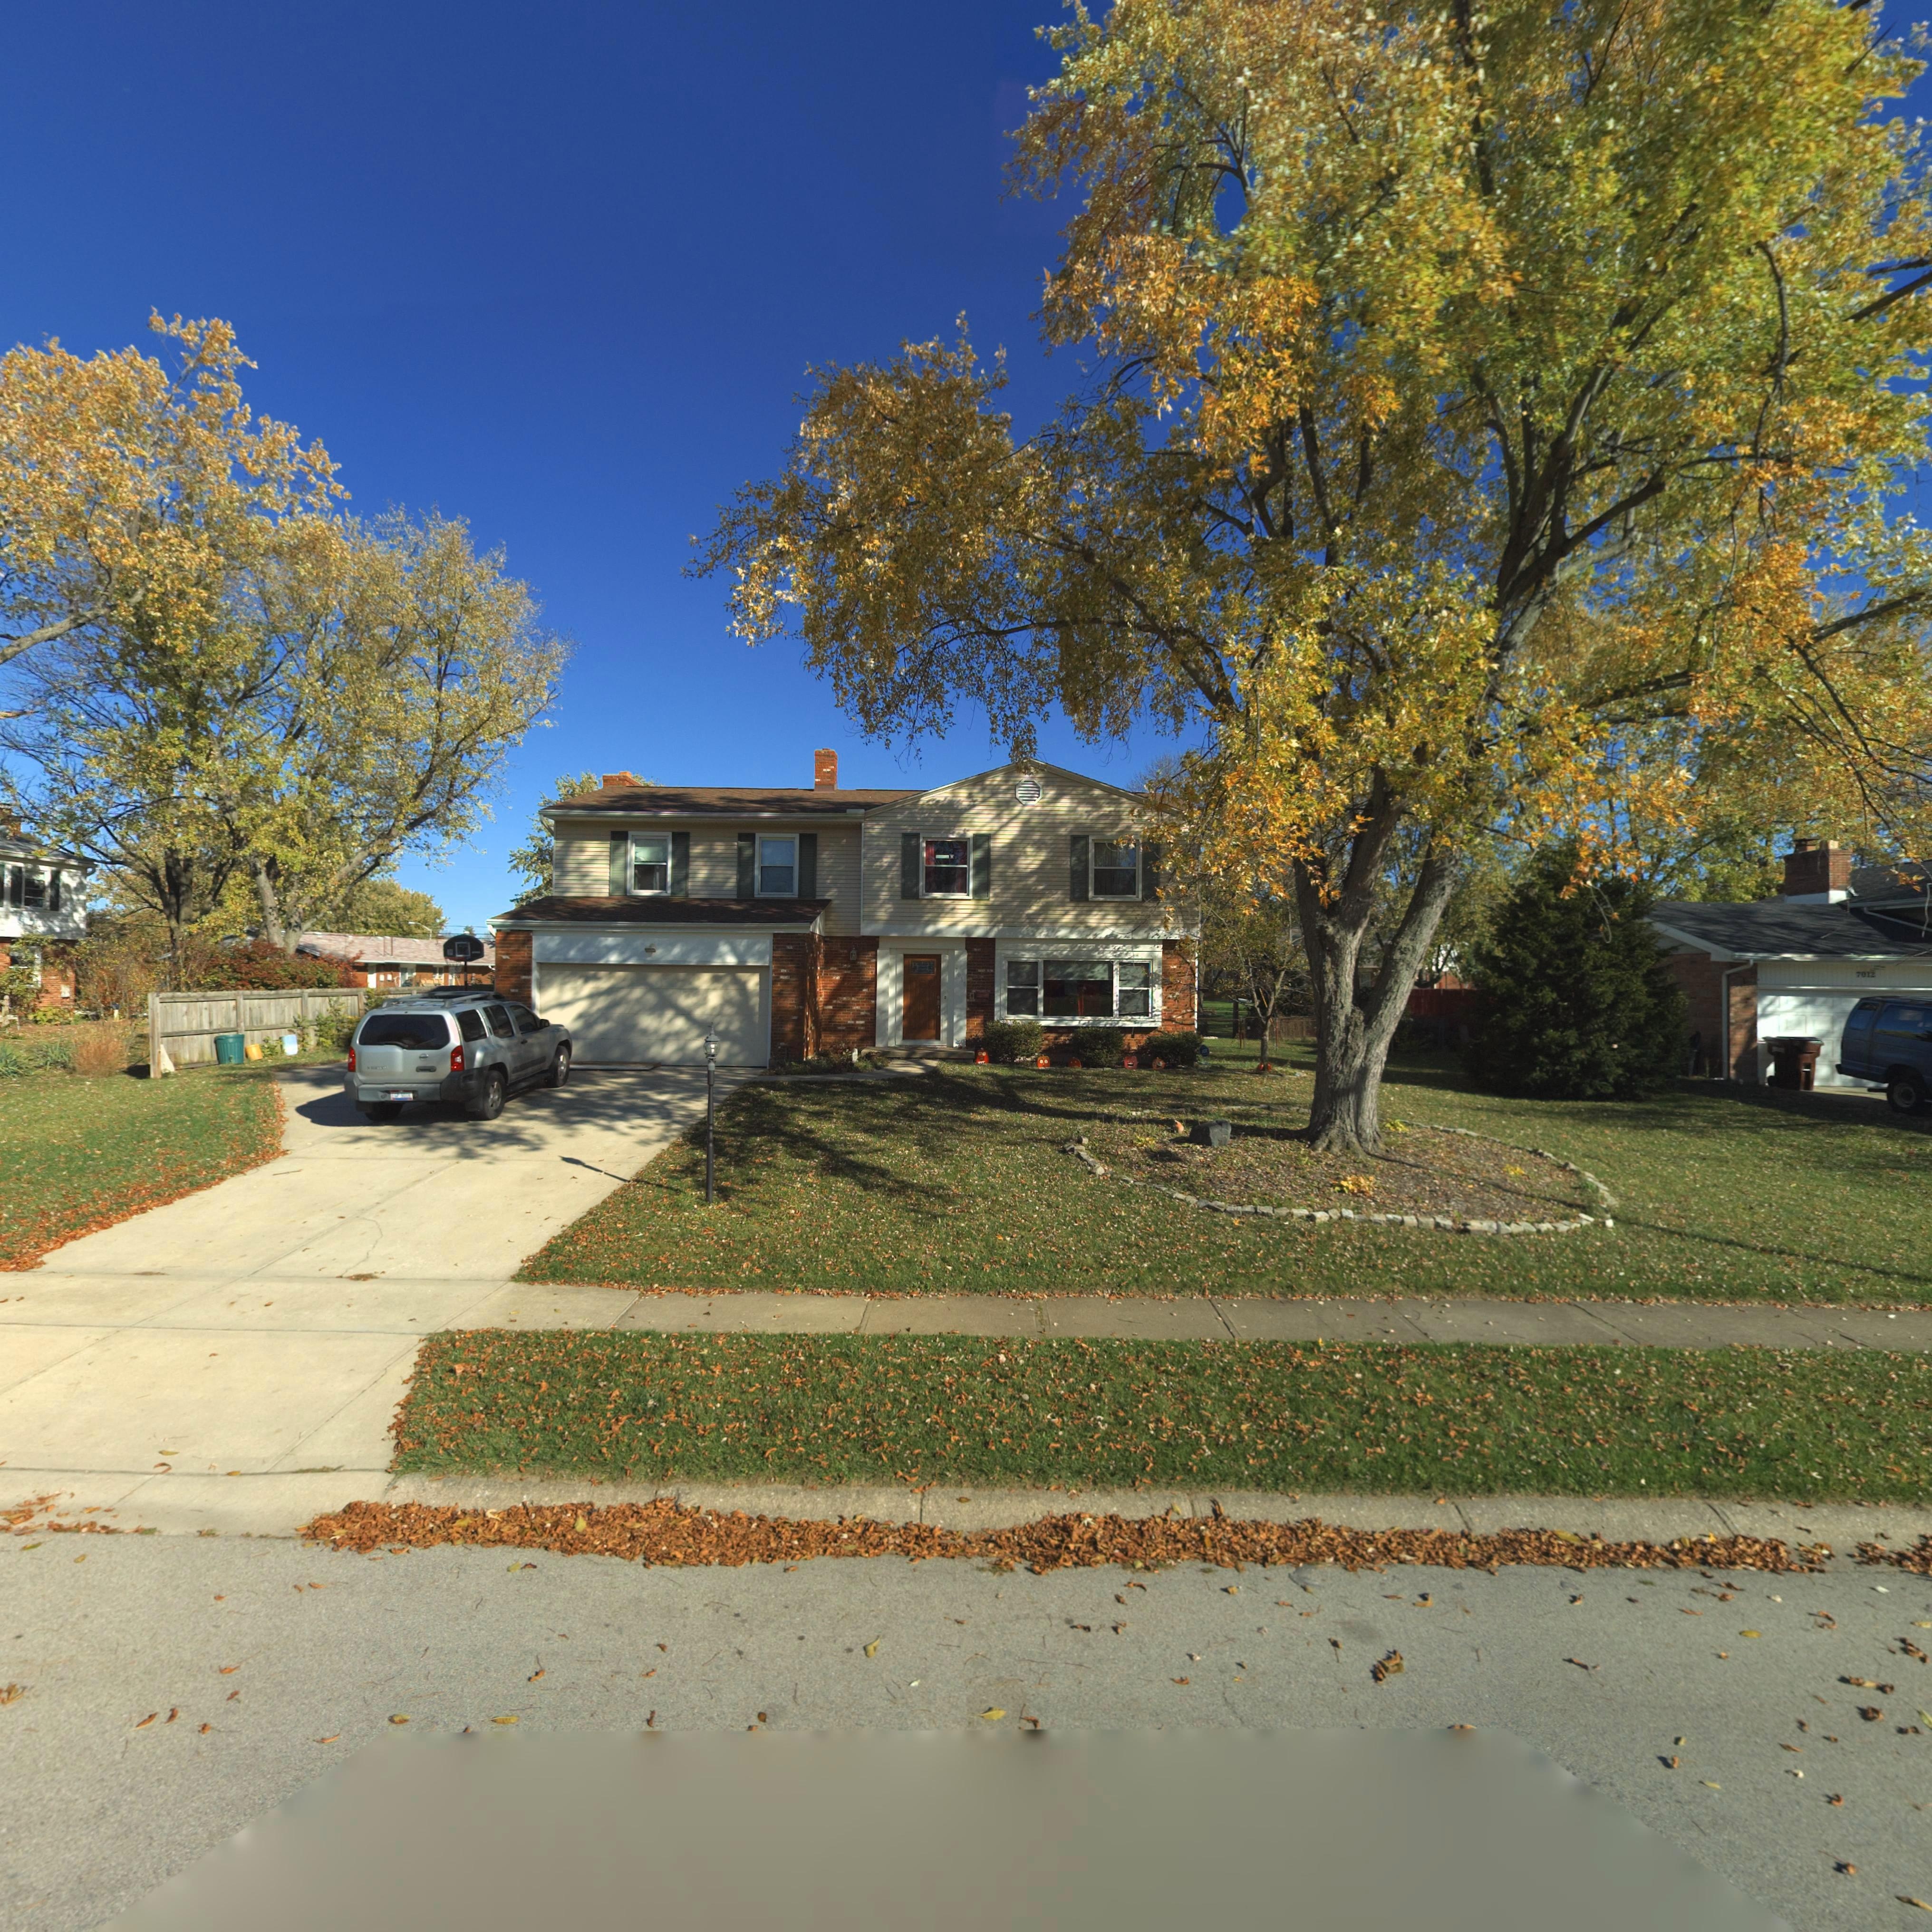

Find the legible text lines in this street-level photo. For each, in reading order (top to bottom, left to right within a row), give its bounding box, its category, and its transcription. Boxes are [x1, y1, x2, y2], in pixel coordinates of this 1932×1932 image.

[954, 966, 967, 988] StreetNumber: 701*
[1854, 970, 1877, 979] StreetNumber: 7012